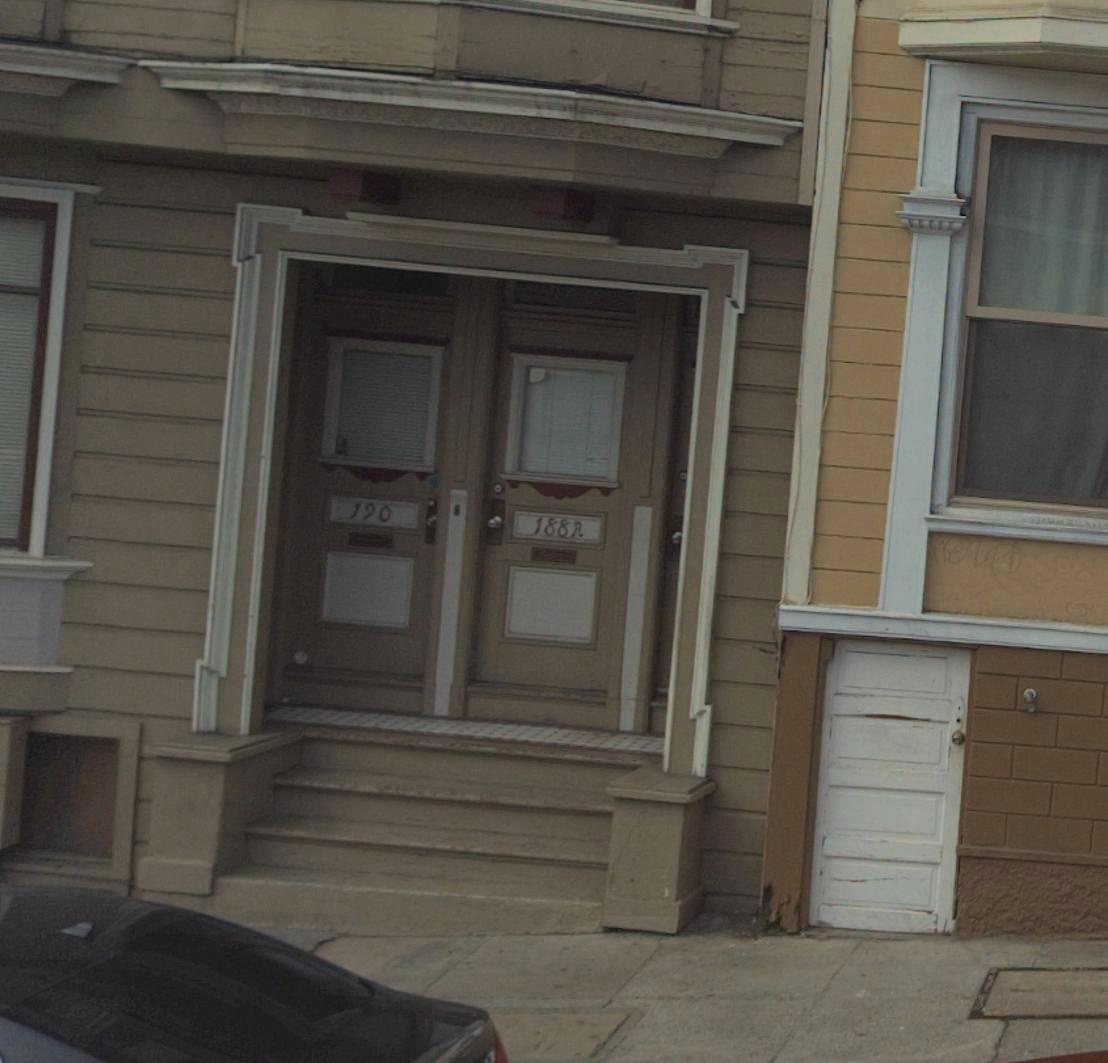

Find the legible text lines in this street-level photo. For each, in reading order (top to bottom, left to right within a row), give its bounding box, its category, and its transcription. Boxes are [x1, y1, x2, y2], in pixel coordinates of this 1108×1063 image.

[343, 496, 395, 527] StreetNumber: 190
[528, 513, 589, 542] StreetNumber: 188A